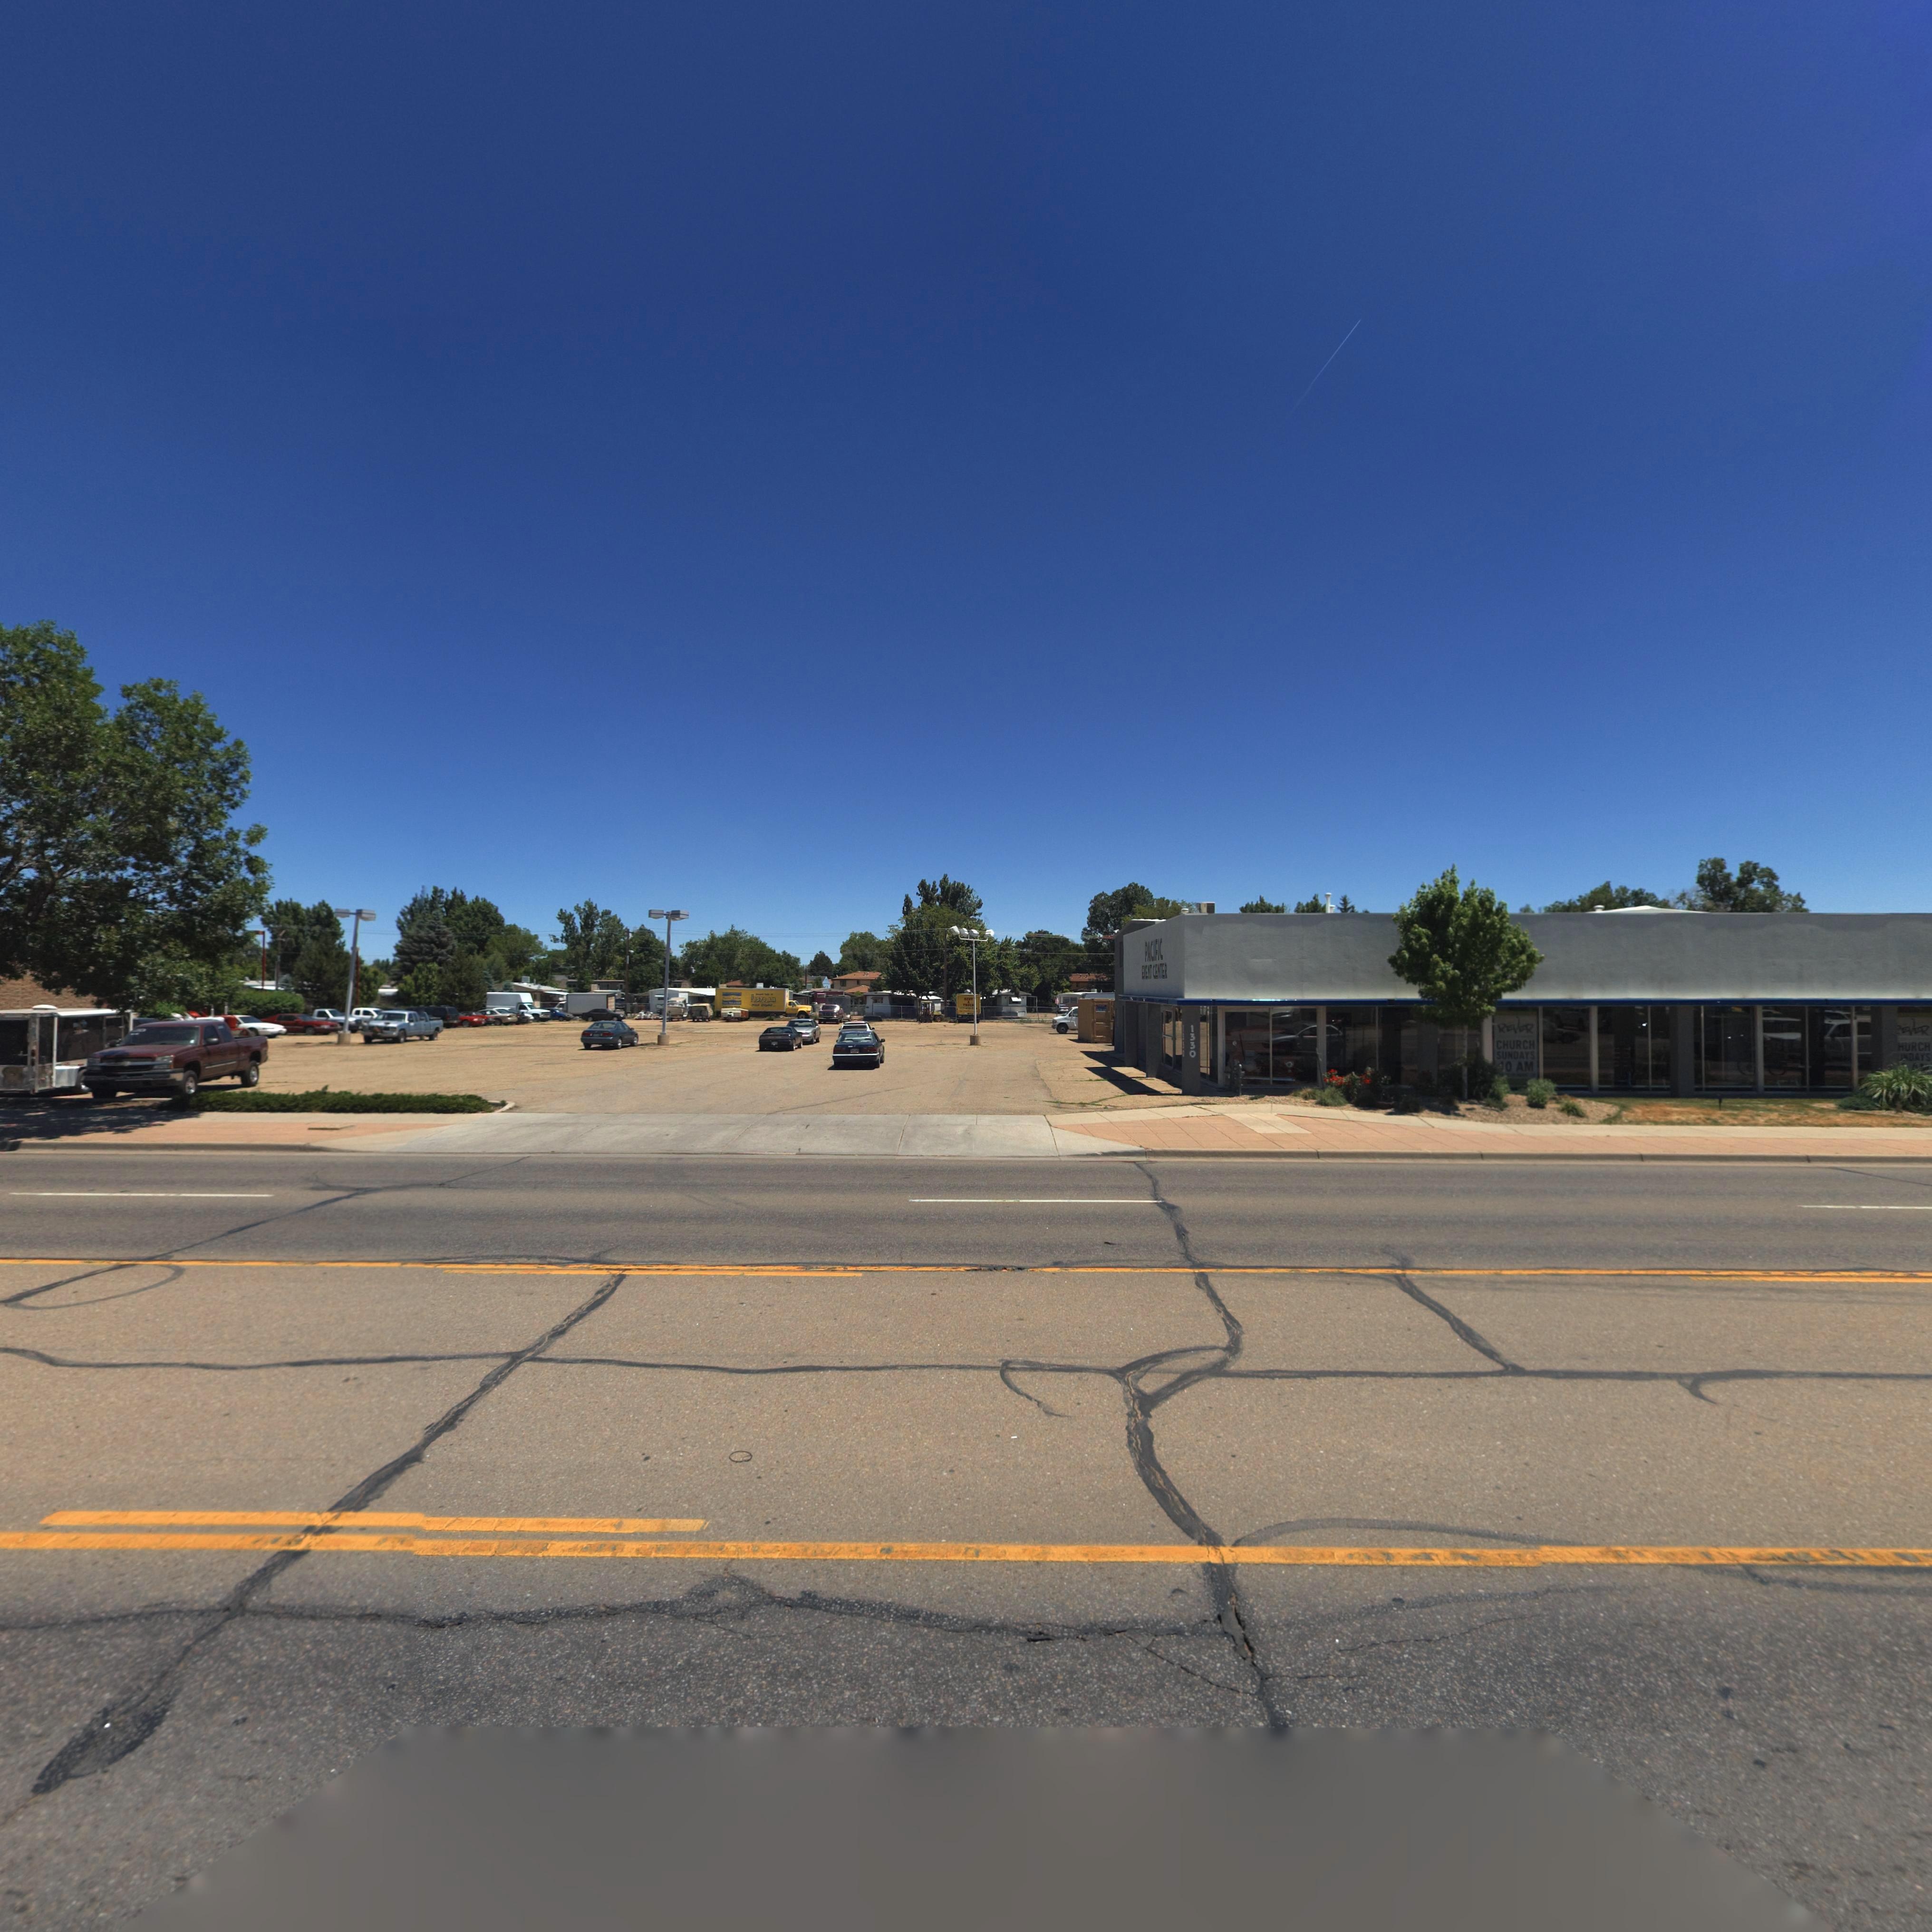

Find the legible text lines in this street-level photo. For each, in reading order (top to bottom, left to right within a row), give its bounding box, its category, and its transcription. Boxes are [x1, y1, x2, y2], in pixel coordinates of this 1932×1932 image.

[1144, 937, 1163, 963] BusinessName: PACIFIC
[1141, 962, 1168, 980] BusinessName: EVENT CENTER
[1496, 1015, 1535, 1034] BusinessName: REVER
[1895, 1017, 1930, 1036] BusinessName: REVER
[1182, 1024, 1184, 1057] StreetNumber: 1330
[1188, 1024, 1196, 1058] StreetNumber: 1330